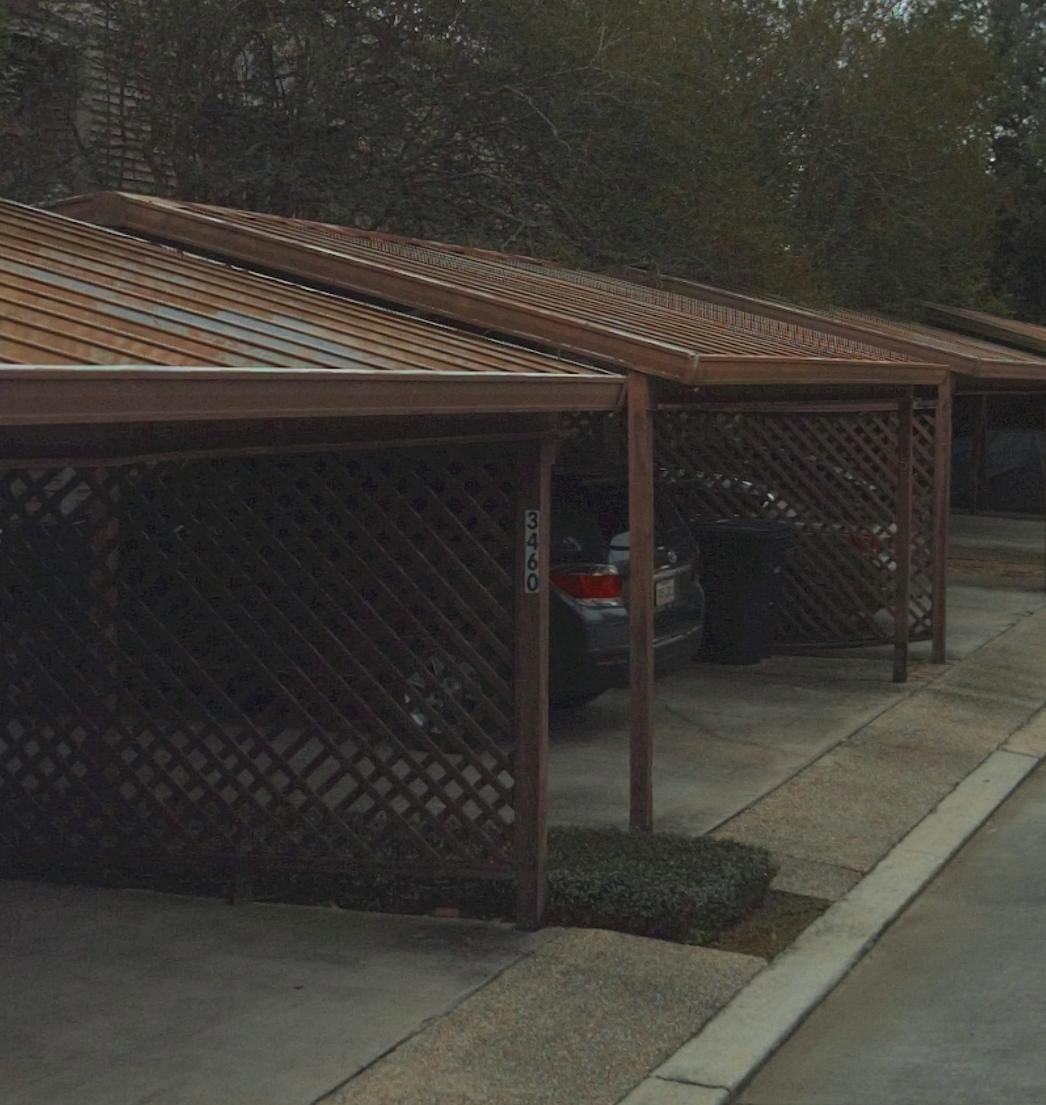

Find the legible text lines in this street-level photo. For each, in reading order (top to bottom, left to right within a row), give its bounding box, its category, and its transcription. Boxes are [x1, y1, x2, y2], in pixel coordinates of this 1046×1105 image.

[525, 511, 539, 595] StreetNumber: 3460